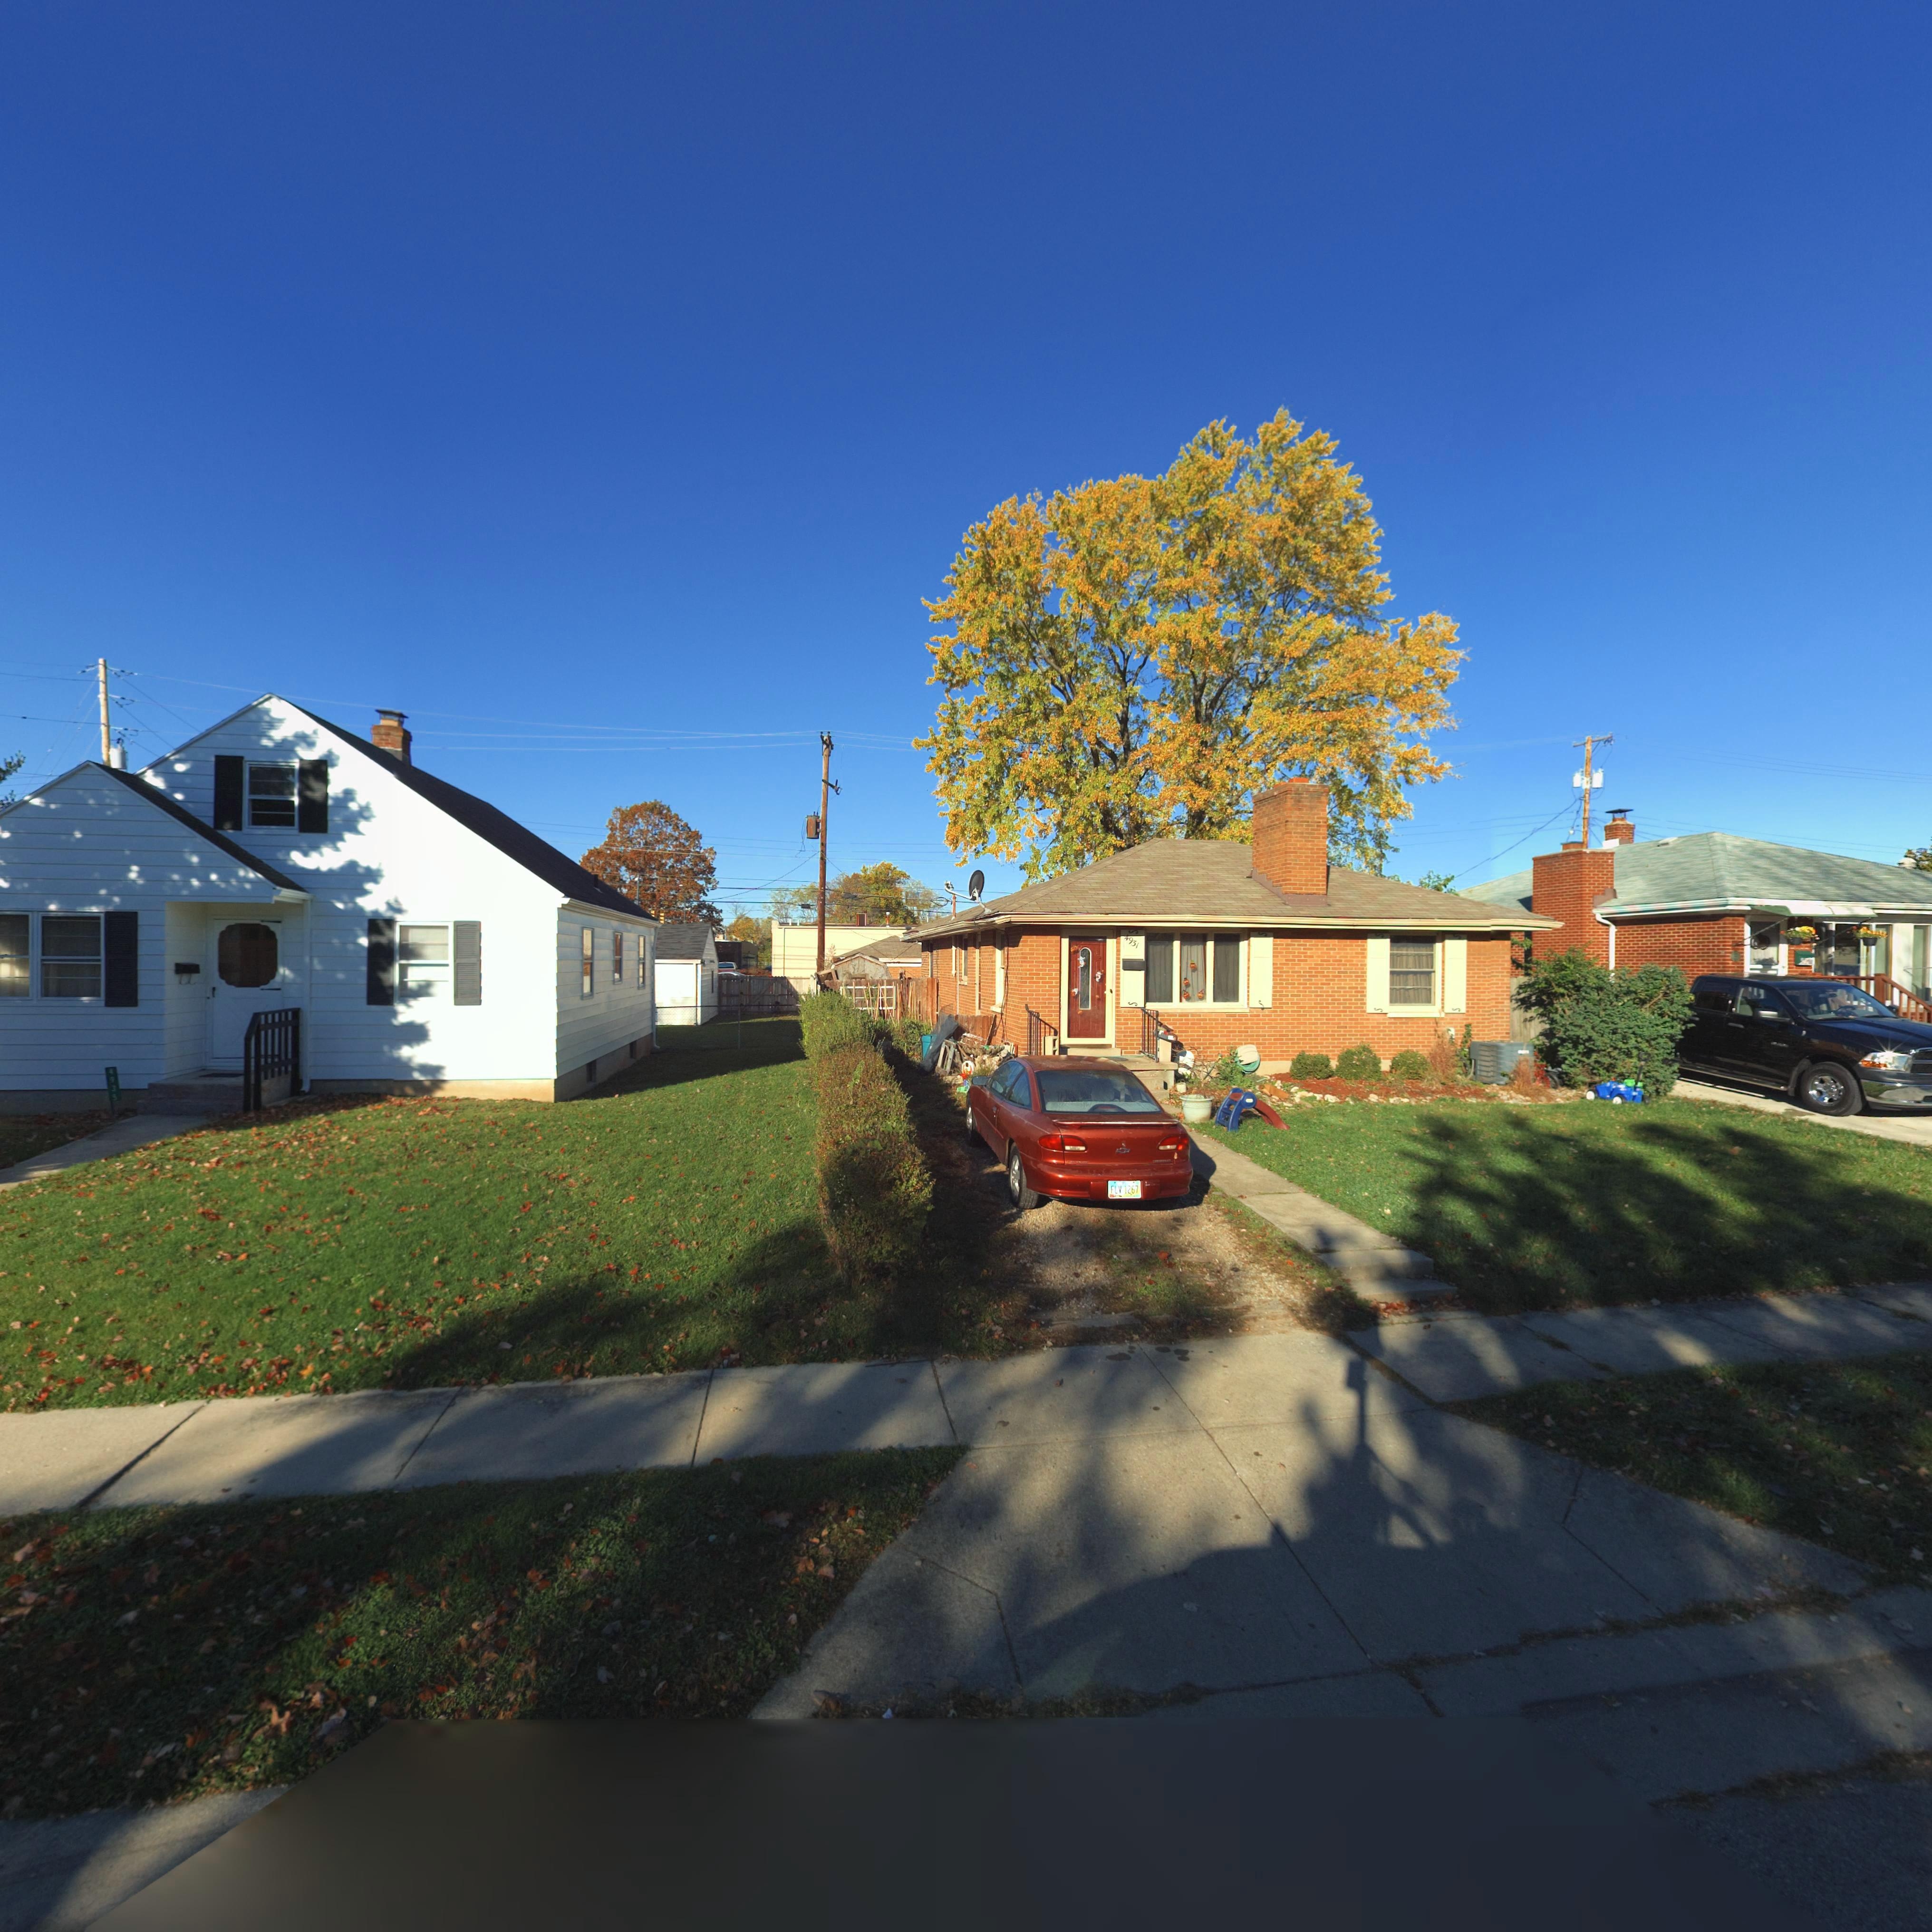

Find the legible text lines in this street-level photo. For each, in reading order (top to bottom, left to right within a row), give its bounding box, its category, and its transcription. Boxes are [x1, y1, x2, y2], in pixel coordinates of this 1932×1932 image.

[1121, 932, 1142, 951] StreetNumber: 4931